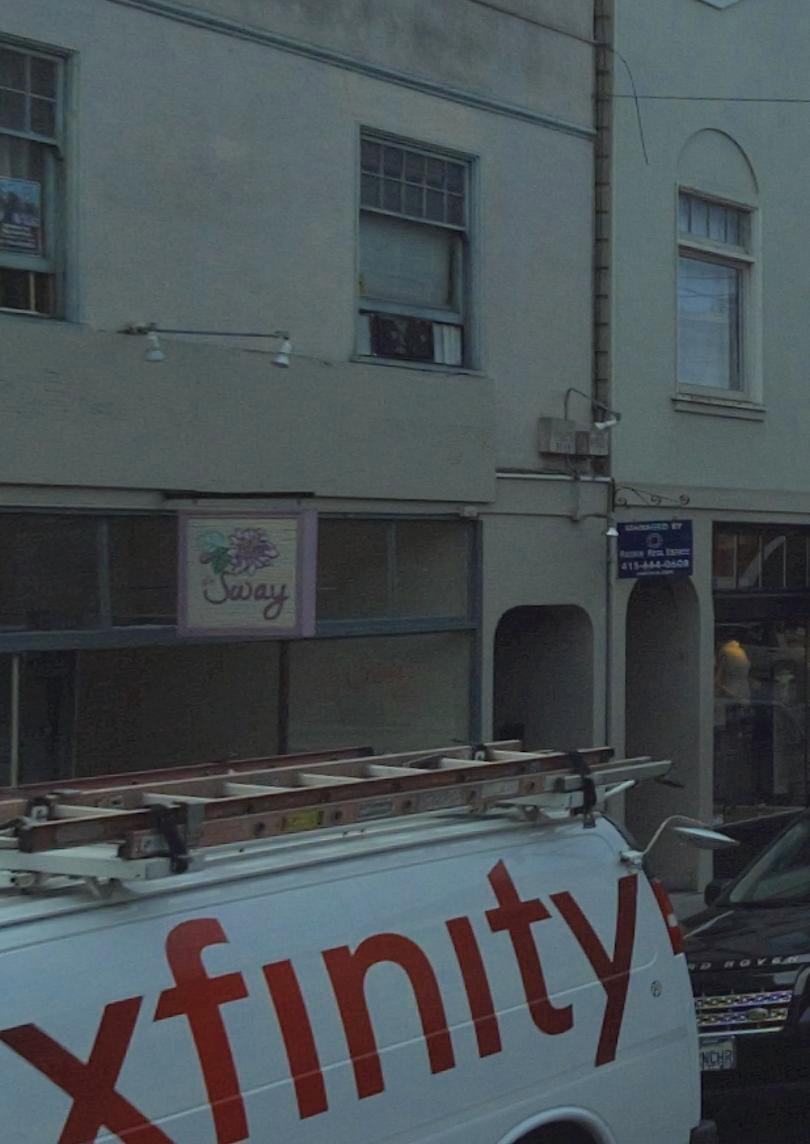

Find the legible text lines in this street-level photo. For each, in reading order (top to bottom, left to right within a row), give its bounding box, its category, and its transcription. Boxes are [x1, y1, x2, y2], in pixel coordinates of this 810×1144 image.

[619, 557, 691, 572] None: 415-444-0*0*
[201, 569, 296, 623] BusinessName: Sway
[697, 954, 800, 973] None: D ROV**
[149, 857, 646, 1144] None: finity
[700, 1048, 734, 1072] None: NCHR